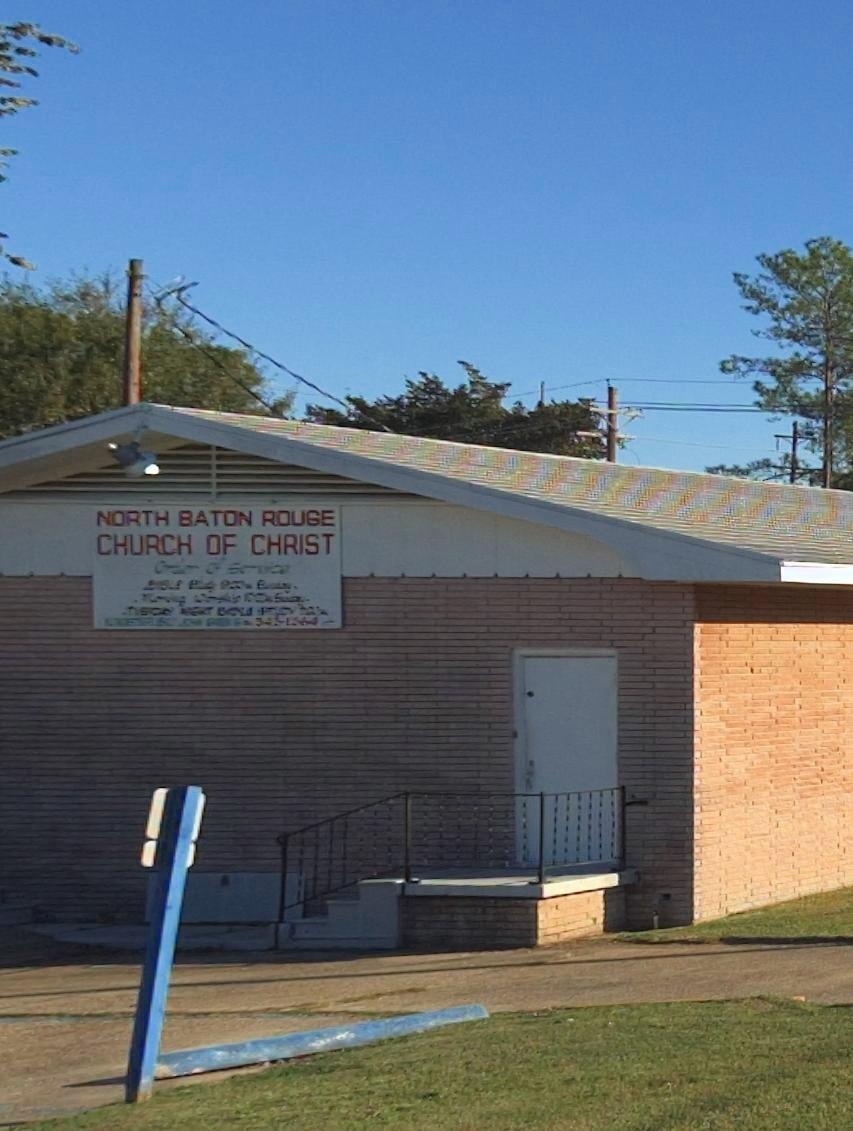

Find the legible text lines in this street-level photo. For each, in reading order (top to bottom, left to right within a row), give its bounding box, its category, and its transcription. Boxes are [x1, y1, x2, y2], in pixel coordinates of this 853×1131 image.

[96, 509, 336, 528] BusinessName: NORTH BATON ROUGE
[95, 531, 337, 557] BusinessName: CHURCH OF CHRIST
[204, 557, 293, 576] None: of Service